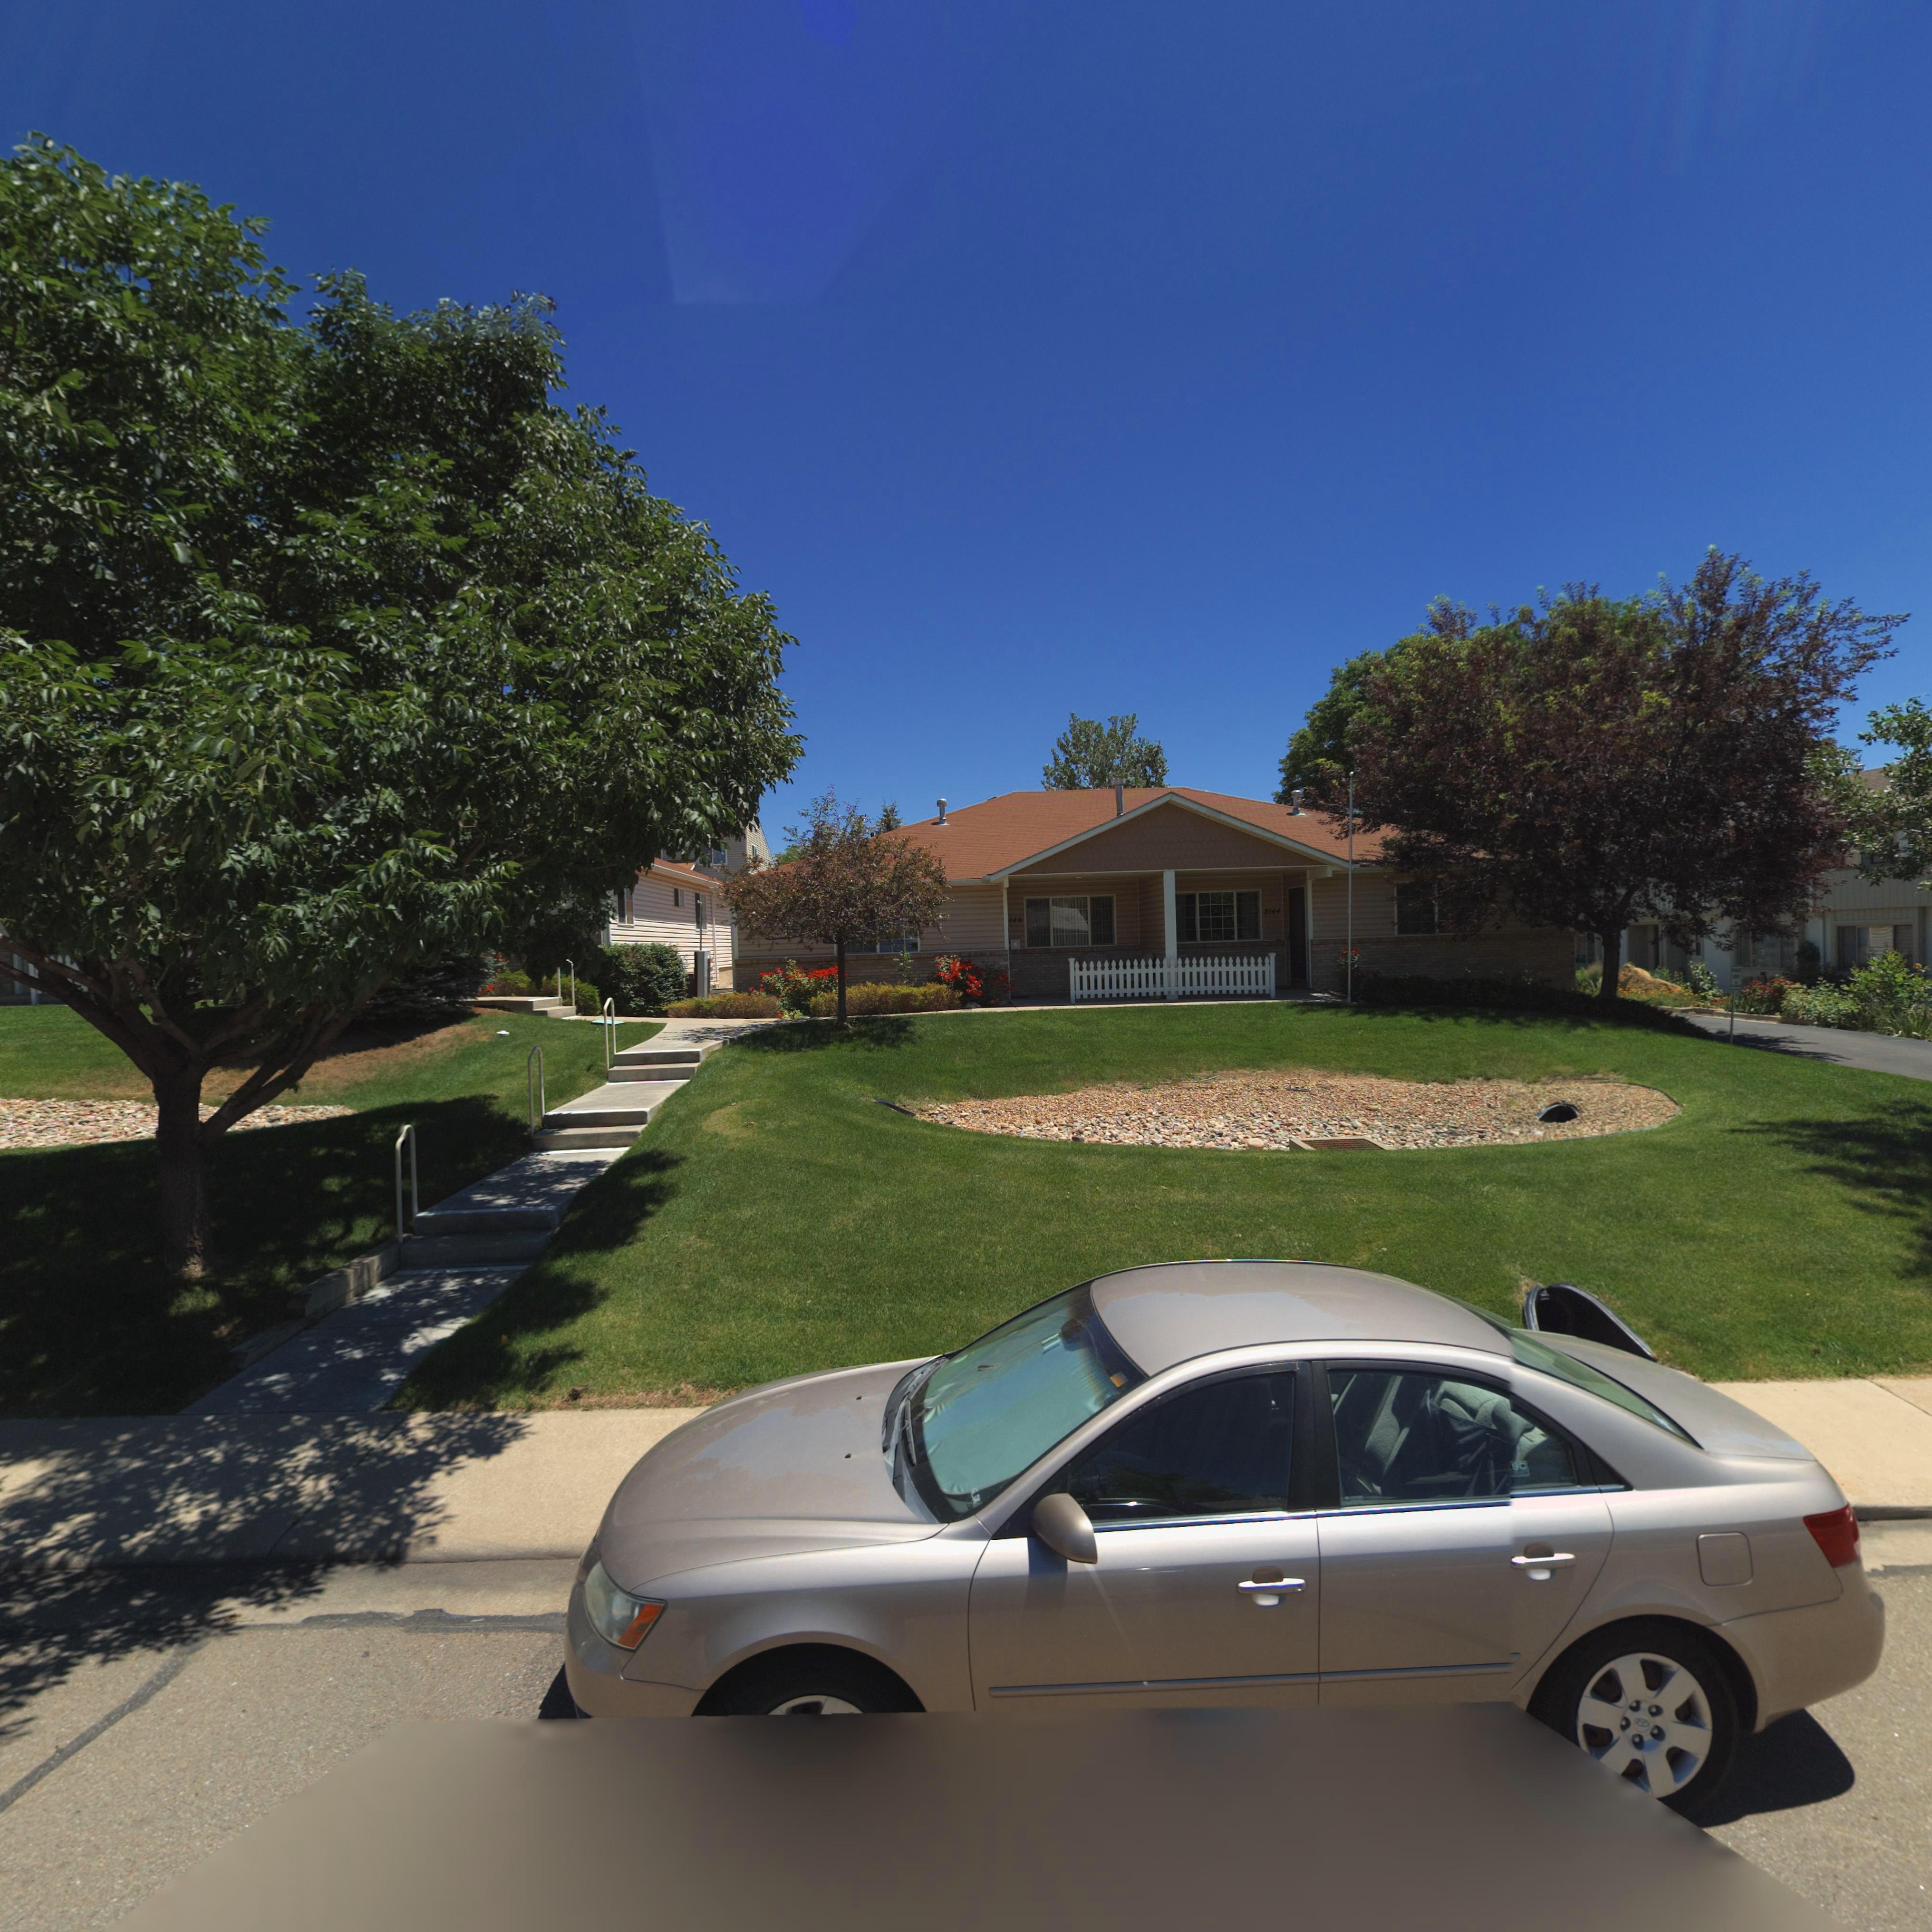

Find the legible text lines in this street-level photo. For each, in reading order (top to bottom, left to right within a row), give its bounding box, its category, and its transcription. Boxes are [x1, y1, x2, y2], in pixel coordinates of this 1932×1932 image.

[1262, 906, 1283, 915] StreetNumber: 2144
[1008, 915, 1023, 924] StreetNumber: 146